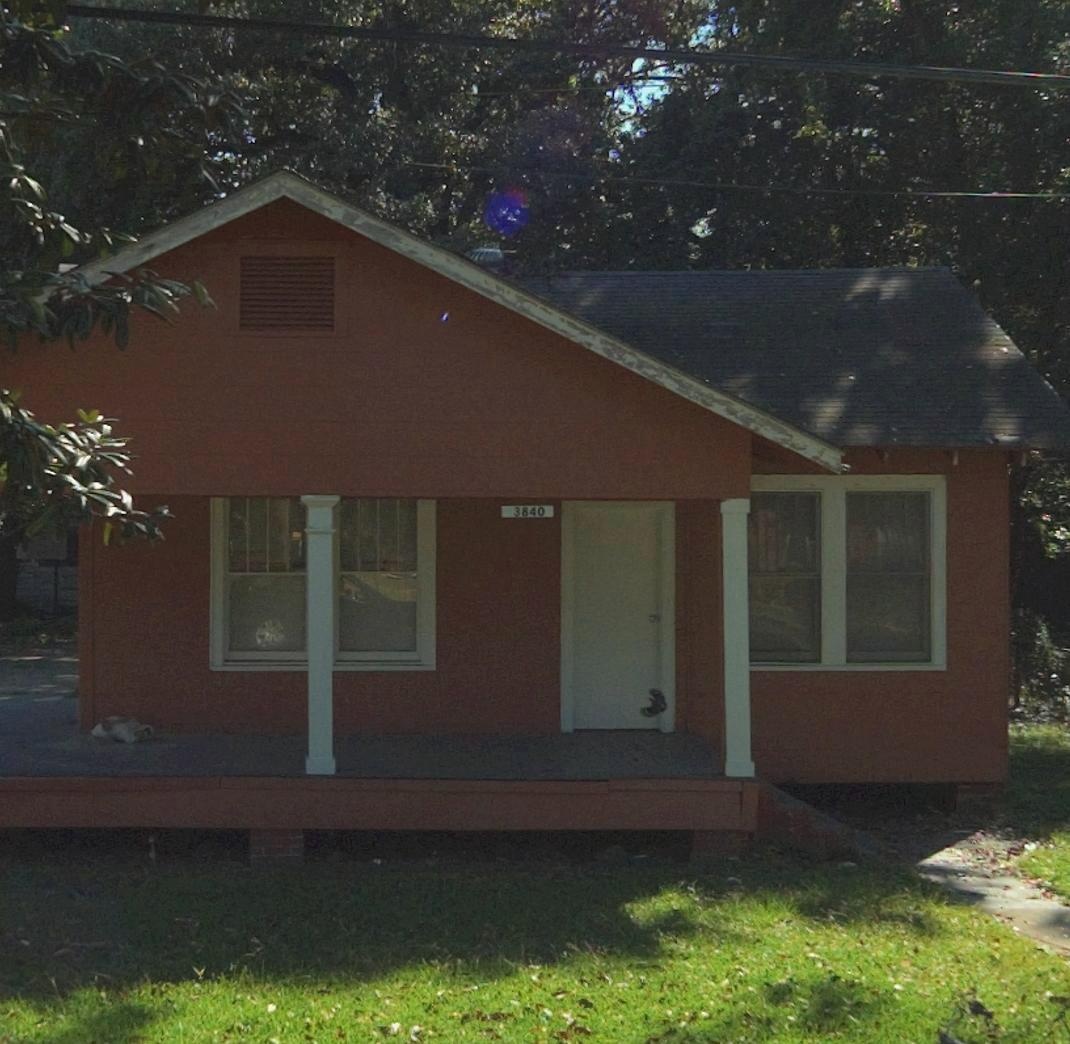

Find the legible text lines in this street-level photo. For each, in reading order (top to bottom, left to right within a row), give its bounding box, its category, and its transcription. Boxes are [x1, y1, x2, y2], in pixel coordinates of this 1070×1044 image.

[513, 506, 546, 518] StreetNumber: 3840